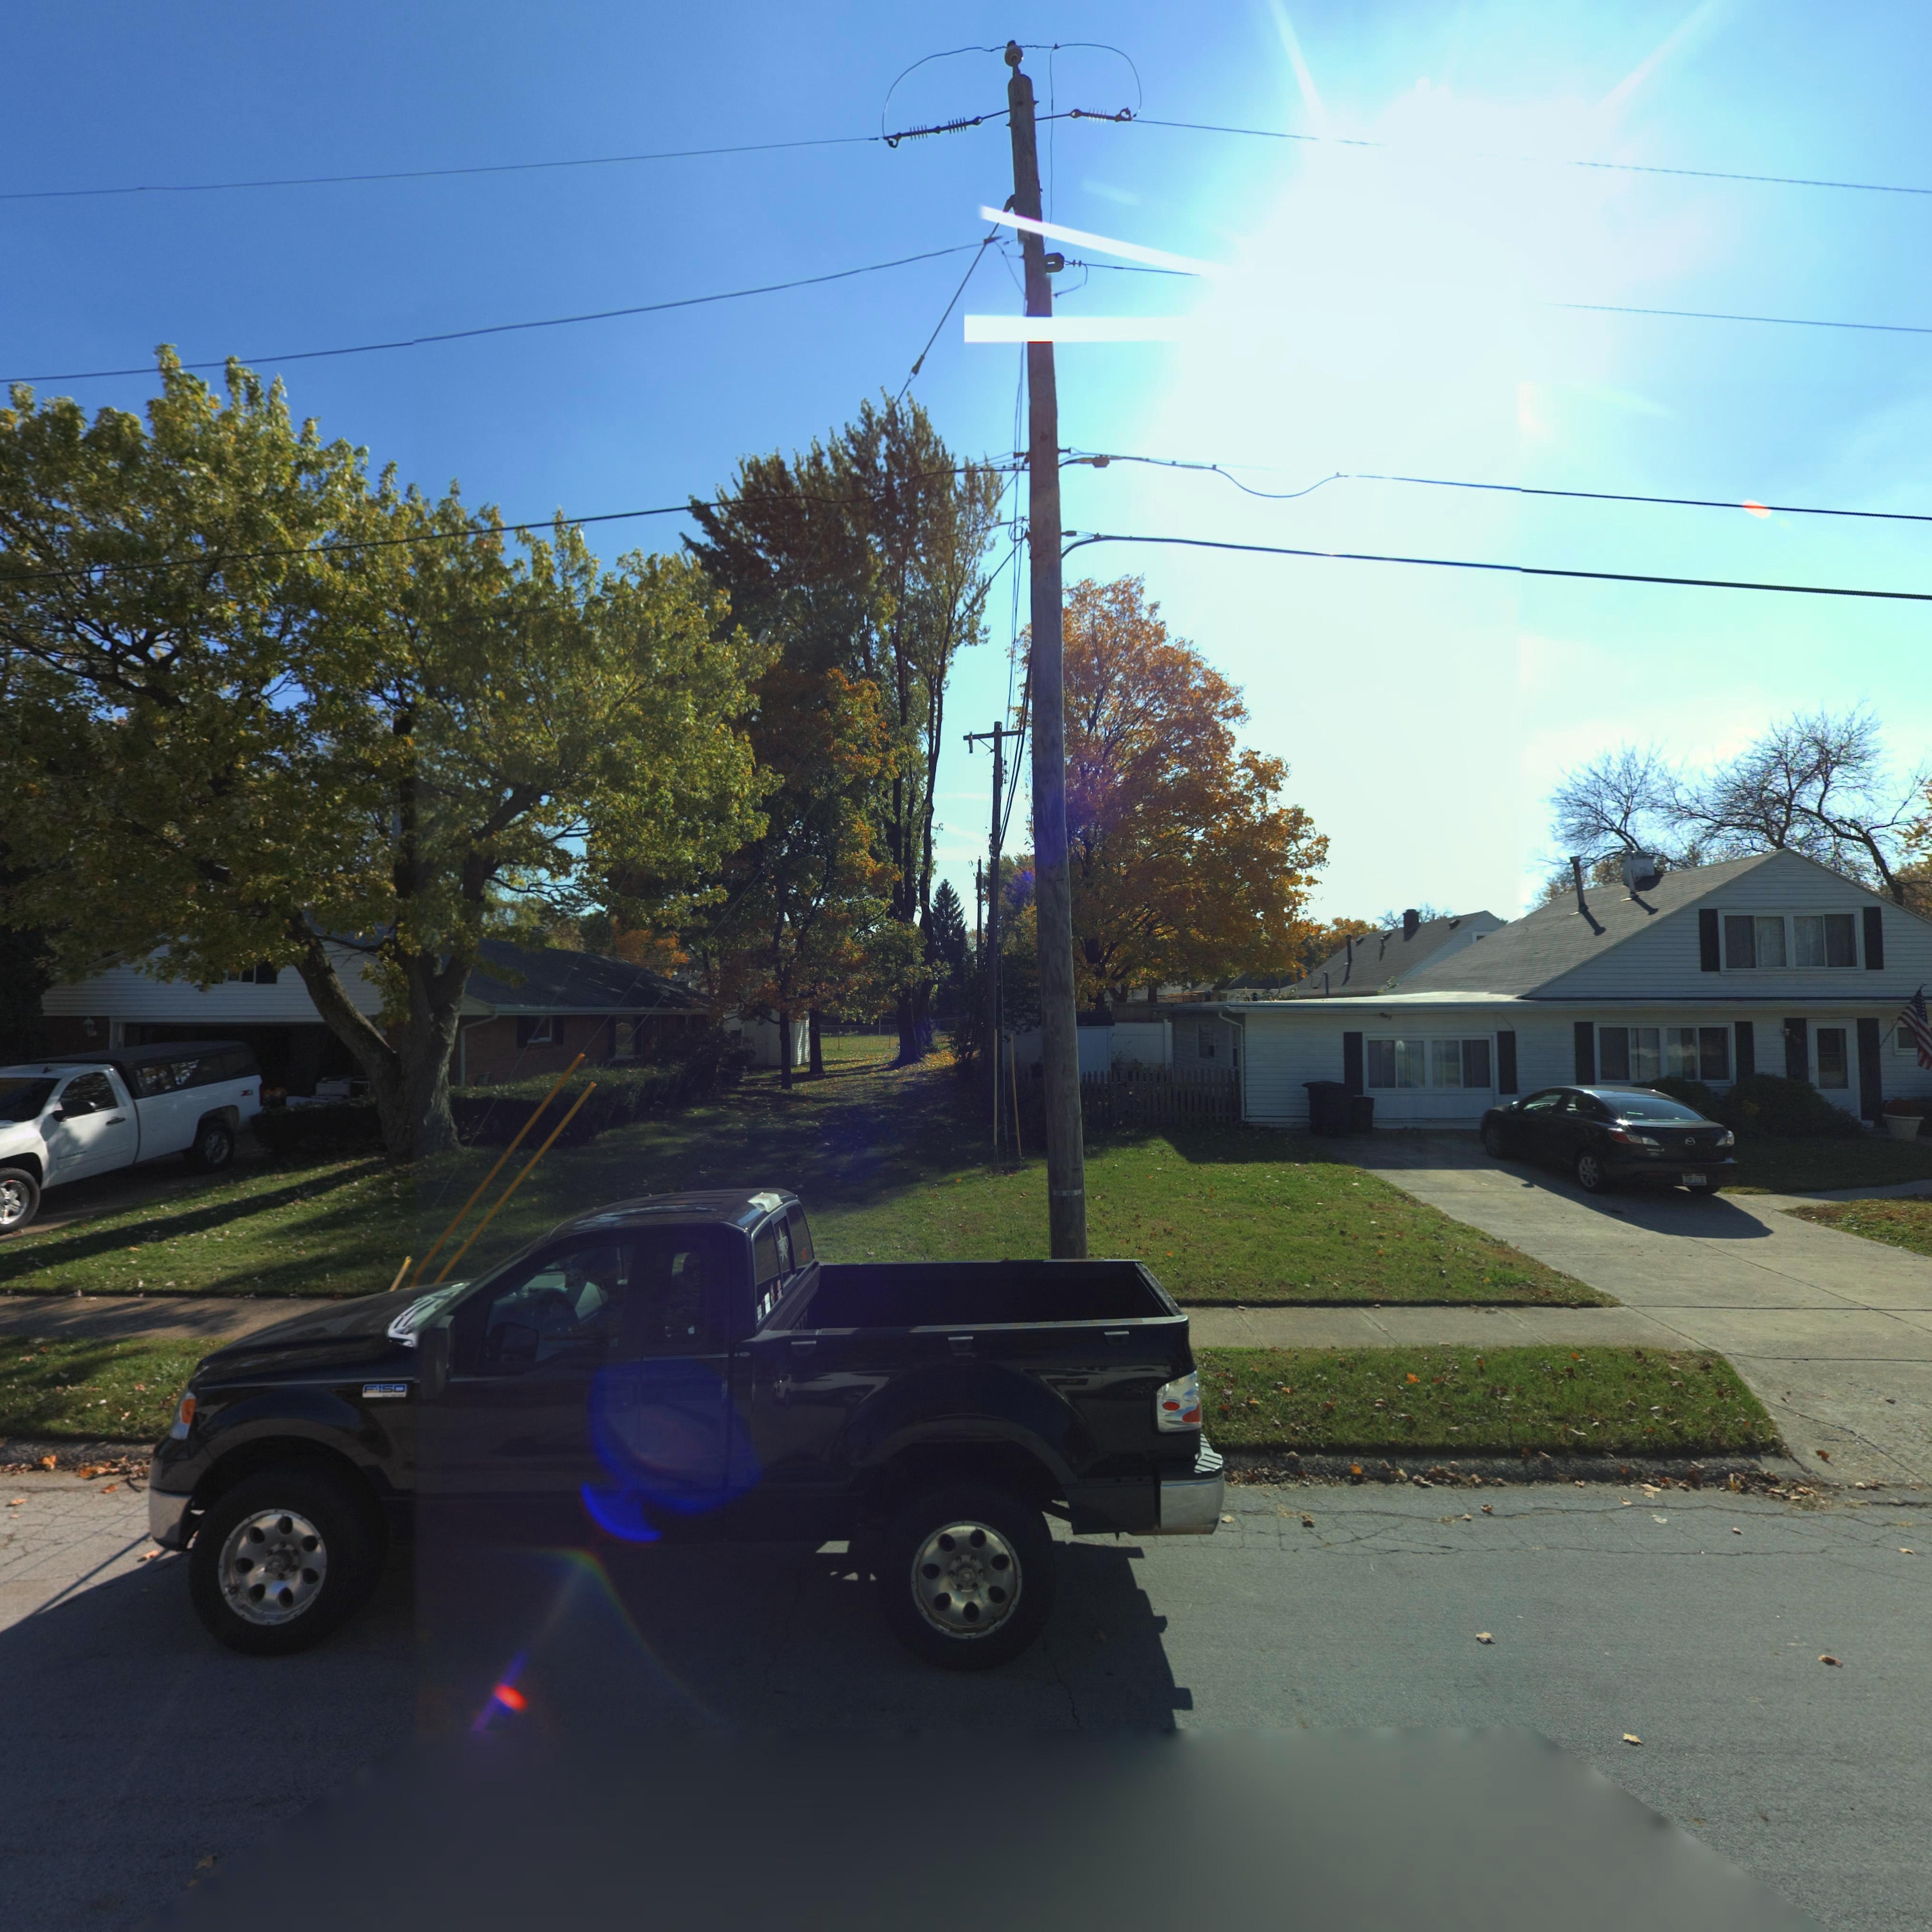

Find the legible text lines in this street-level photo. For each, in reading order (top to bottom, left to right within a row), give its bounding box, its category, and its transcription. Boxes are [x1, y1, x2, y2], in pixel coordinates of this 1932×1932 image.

[363, 1385, 406, 1393] None: F-150